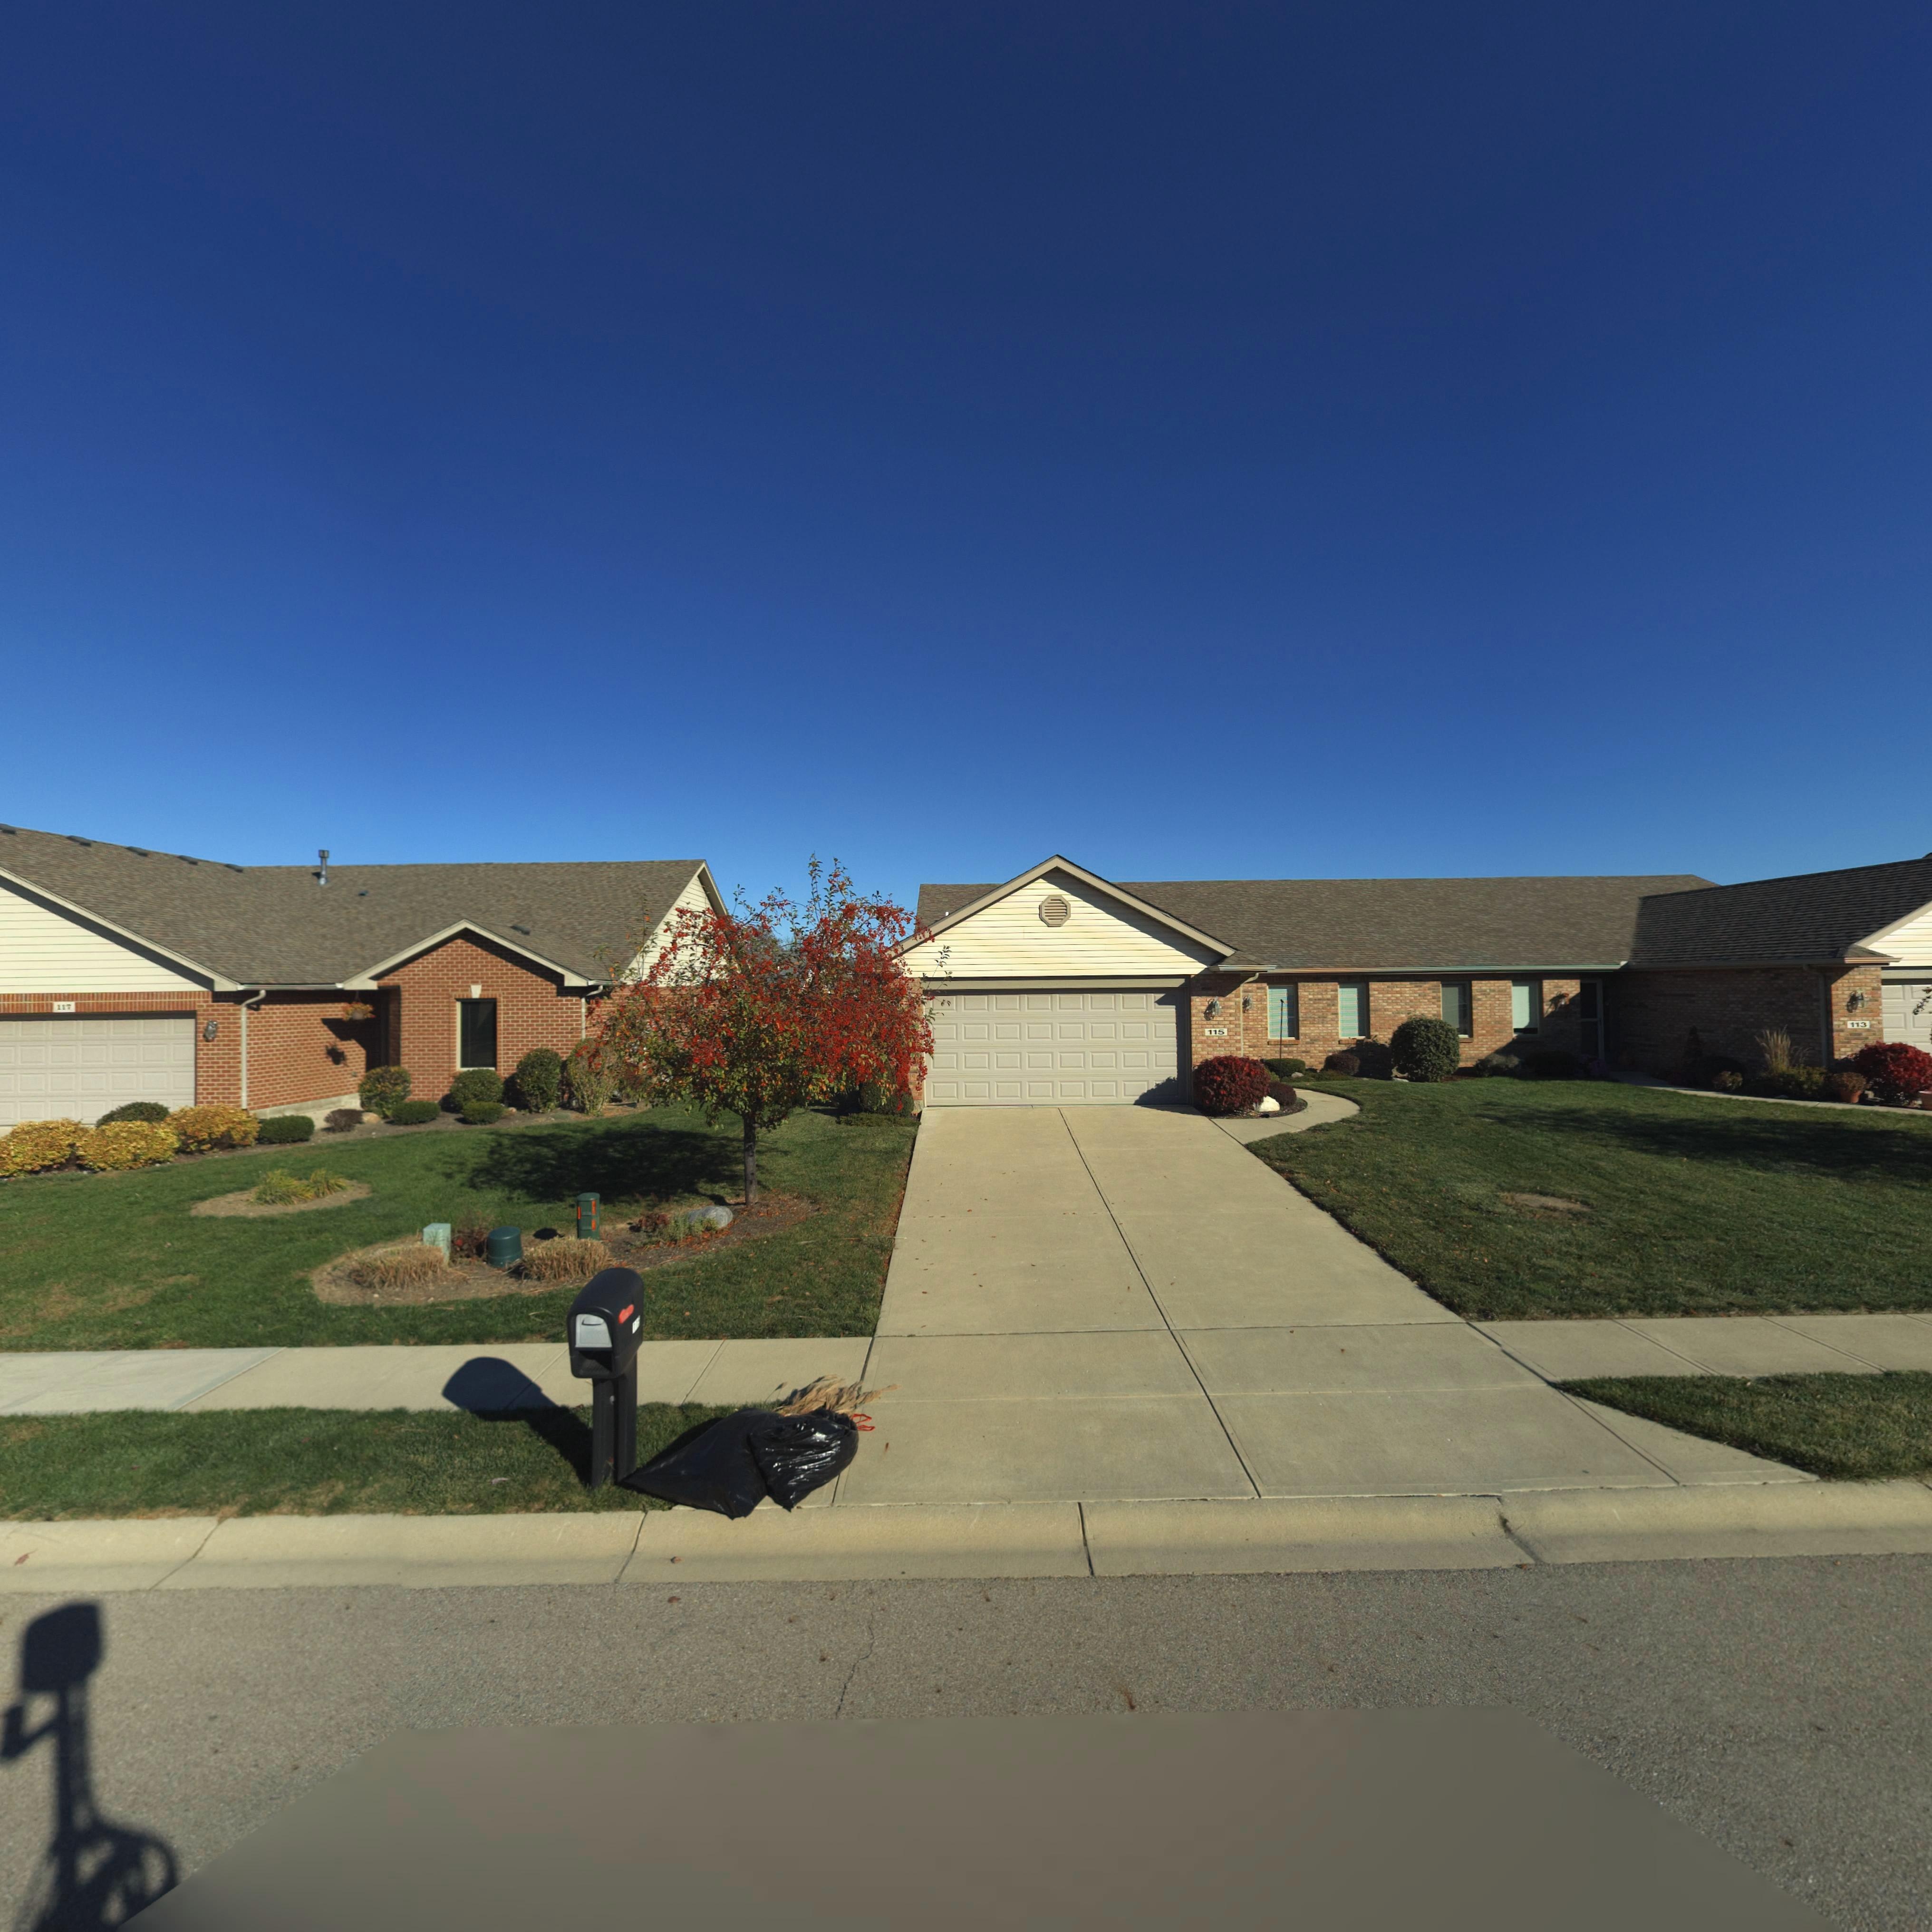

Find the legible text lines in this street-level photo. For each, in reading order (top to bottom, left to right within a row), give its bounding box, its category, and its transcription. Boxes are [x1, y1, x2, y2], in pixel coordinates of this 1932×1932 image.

[56, 1003, 72, 1011] StreetNumber: 117
[1850, 1021, 1867, 1028] StreetNumber: 113
[1207, 1028, 1225, 1035] StreetNumber: 115